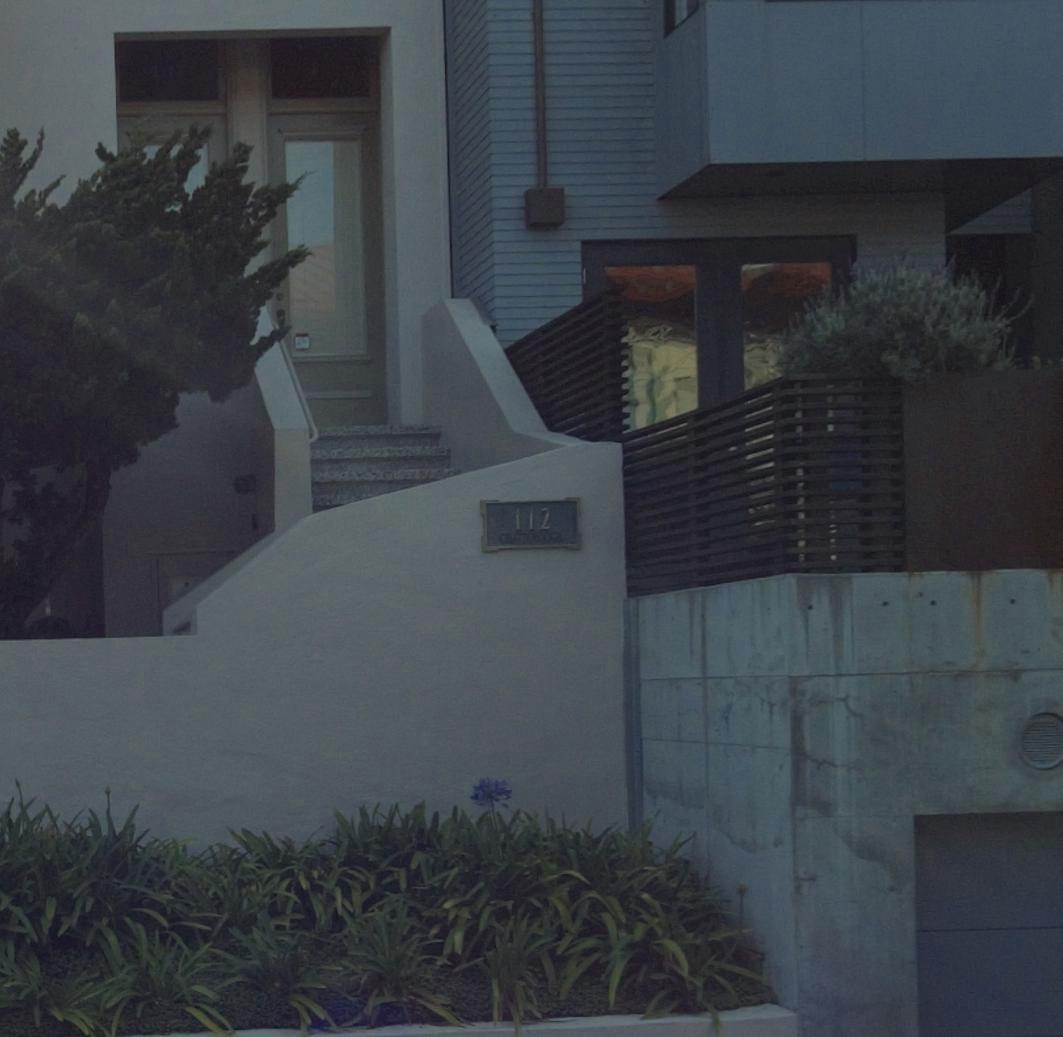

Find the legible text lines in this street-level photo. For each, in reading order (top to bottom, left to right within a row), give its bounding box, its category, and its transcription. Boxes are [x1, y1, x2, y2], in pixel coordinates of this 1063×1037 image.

[512, 507, 551, 531] StreetNumber: 112